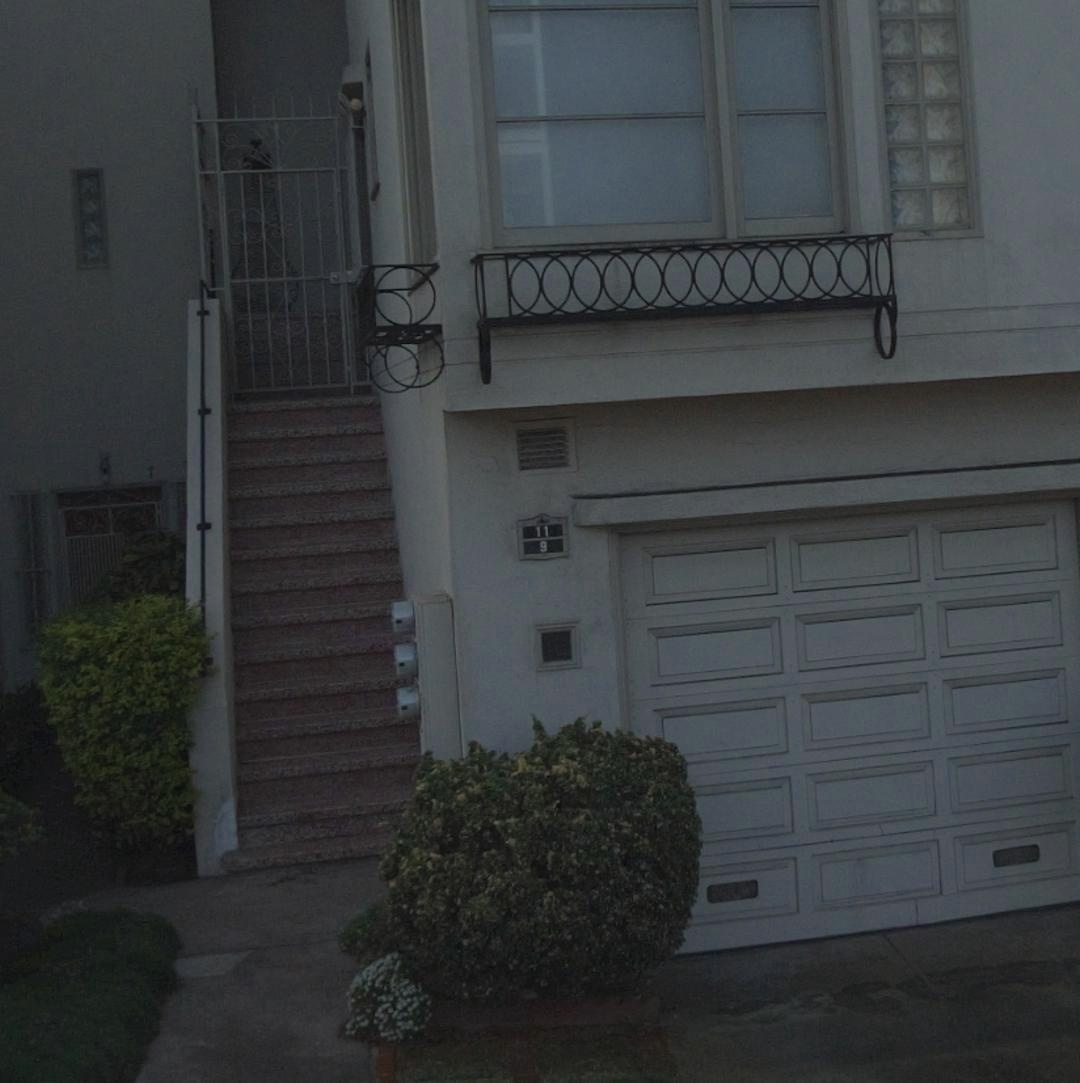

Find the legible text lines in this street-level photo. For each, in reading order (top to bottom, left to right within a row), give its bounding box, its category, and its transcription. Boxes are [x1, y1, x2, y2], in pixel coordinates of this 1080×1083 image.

[534, 523, 550, 539] StreetNumber: 11
[537, 539, 550, 555] StreetNumber: 9